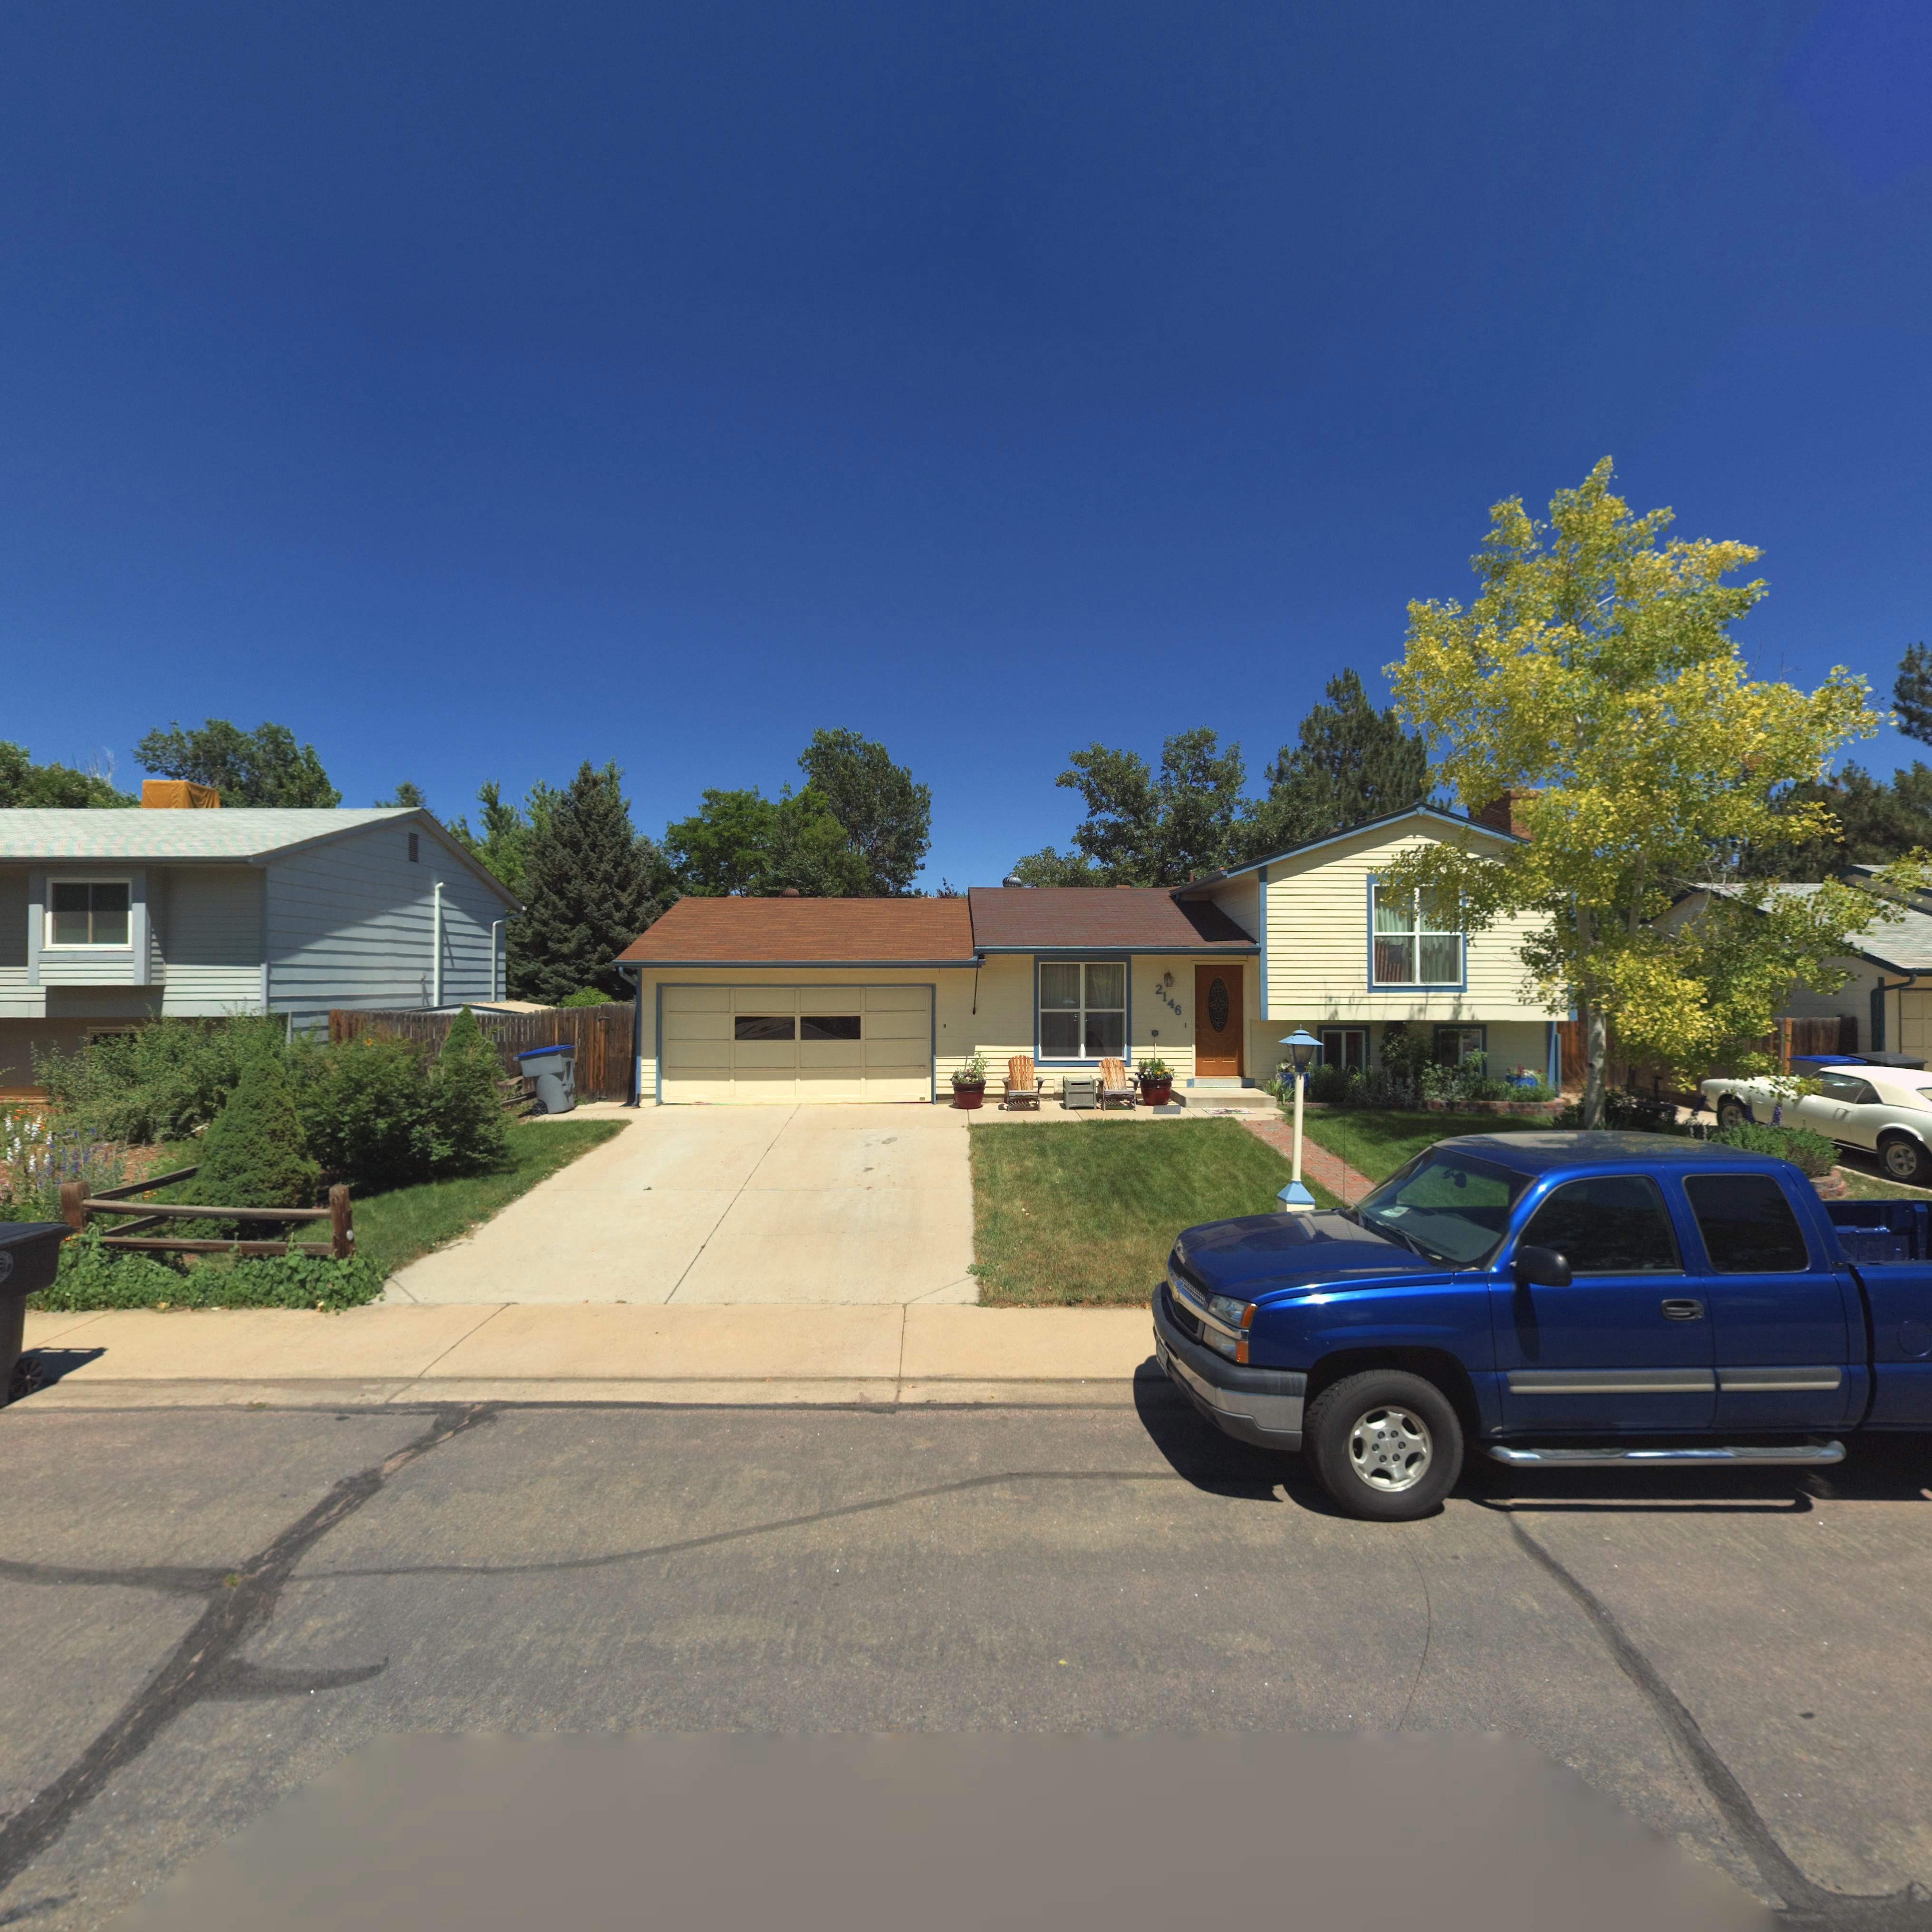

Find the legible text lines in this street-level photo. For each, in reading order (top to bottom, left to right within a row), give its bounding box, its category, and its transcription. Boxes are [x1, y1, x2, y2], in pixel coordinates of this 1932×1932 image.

[1154, 983, 1183, 1015] StreetNumber: 2146